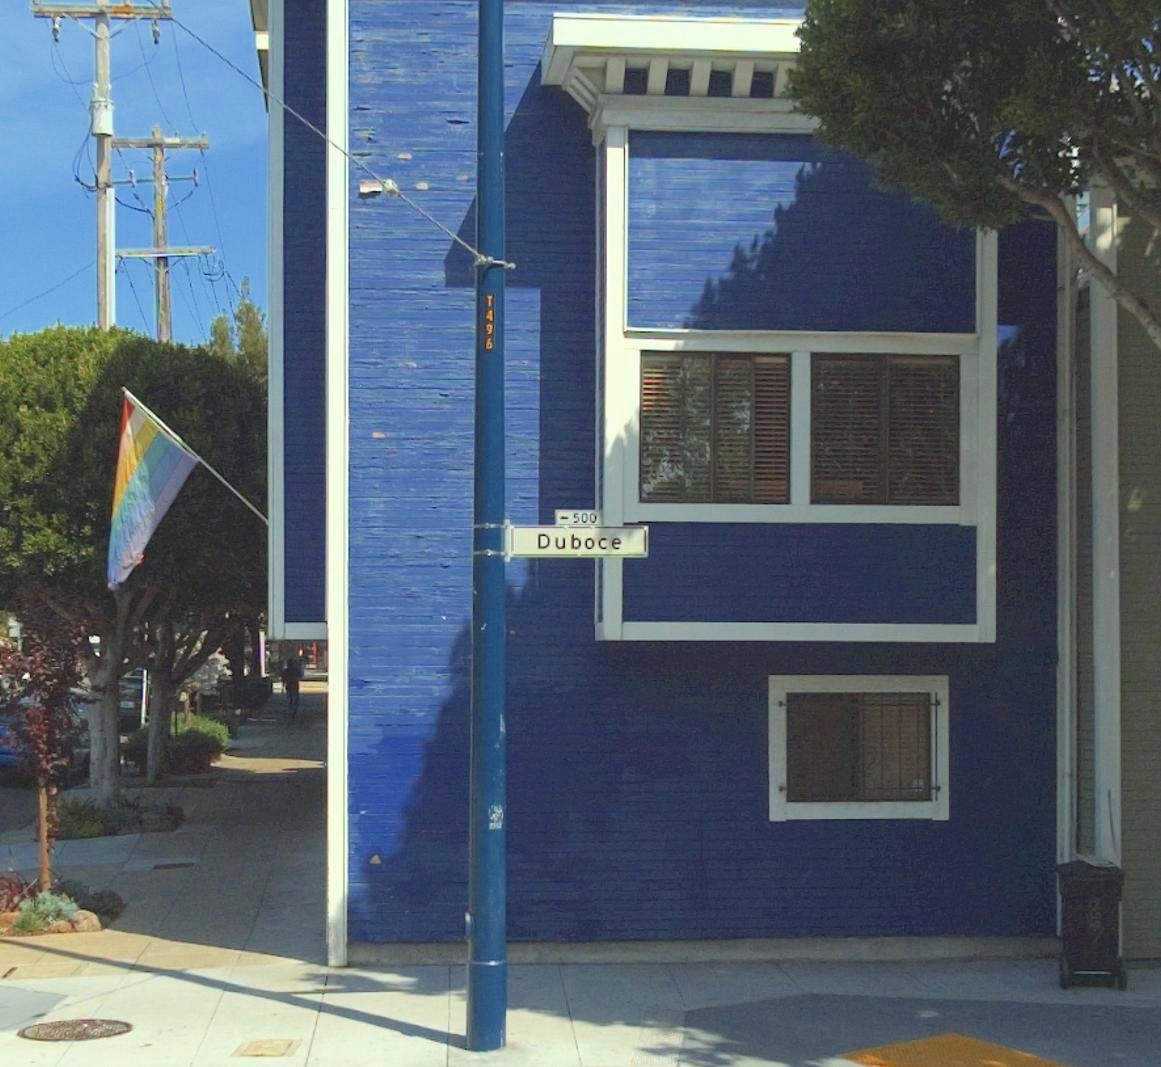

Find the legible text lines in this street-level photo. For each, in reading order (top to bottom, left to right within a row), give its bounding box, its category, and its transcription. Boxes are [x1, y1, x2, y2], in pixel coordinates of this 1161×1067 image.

[484, 294, 493, 350] None: T496
[556, 509, 597, 524] StreetNumberRange: <-500
[536, 530, 621, 550] StreetName: Duboce